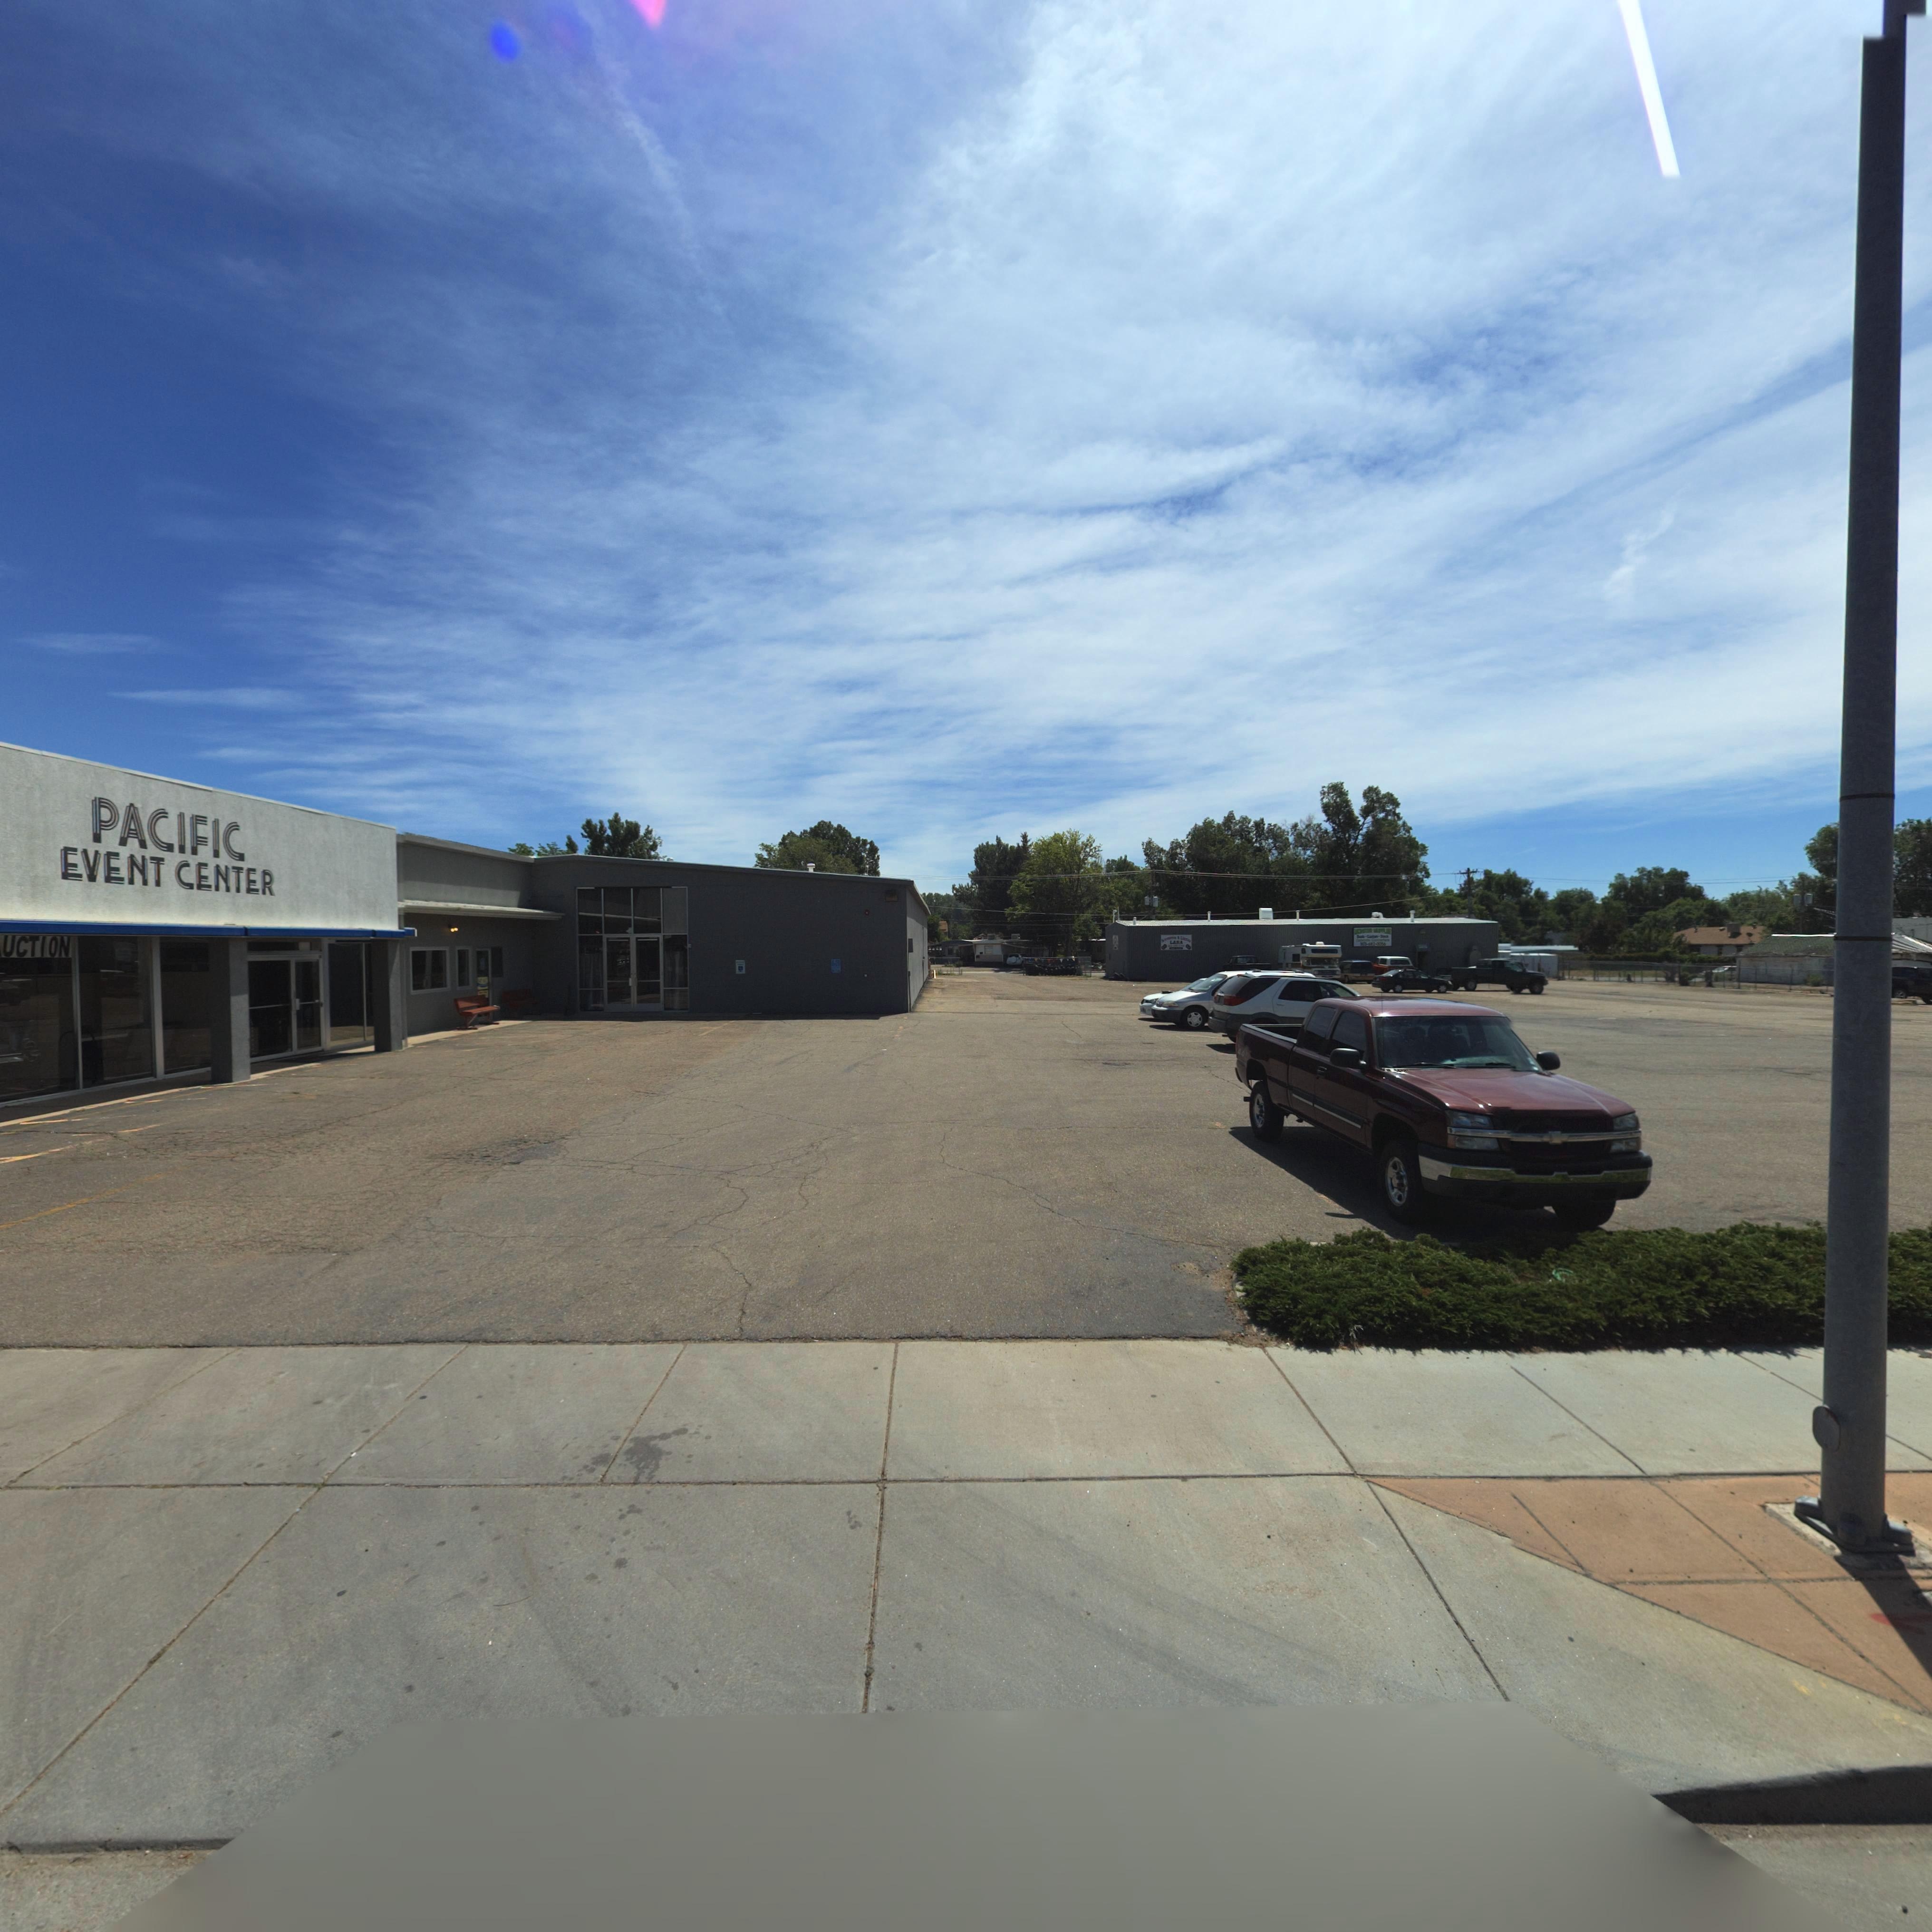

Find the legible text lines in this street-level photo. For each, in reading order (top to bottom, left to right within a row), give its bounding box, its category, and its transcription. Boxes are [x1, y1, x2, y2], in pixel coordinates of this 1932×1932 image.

[90, 795, 246, 863] BusinessName: PACIFIC
[60, 844, 277, 897] BusinessName: EVENT CENTER